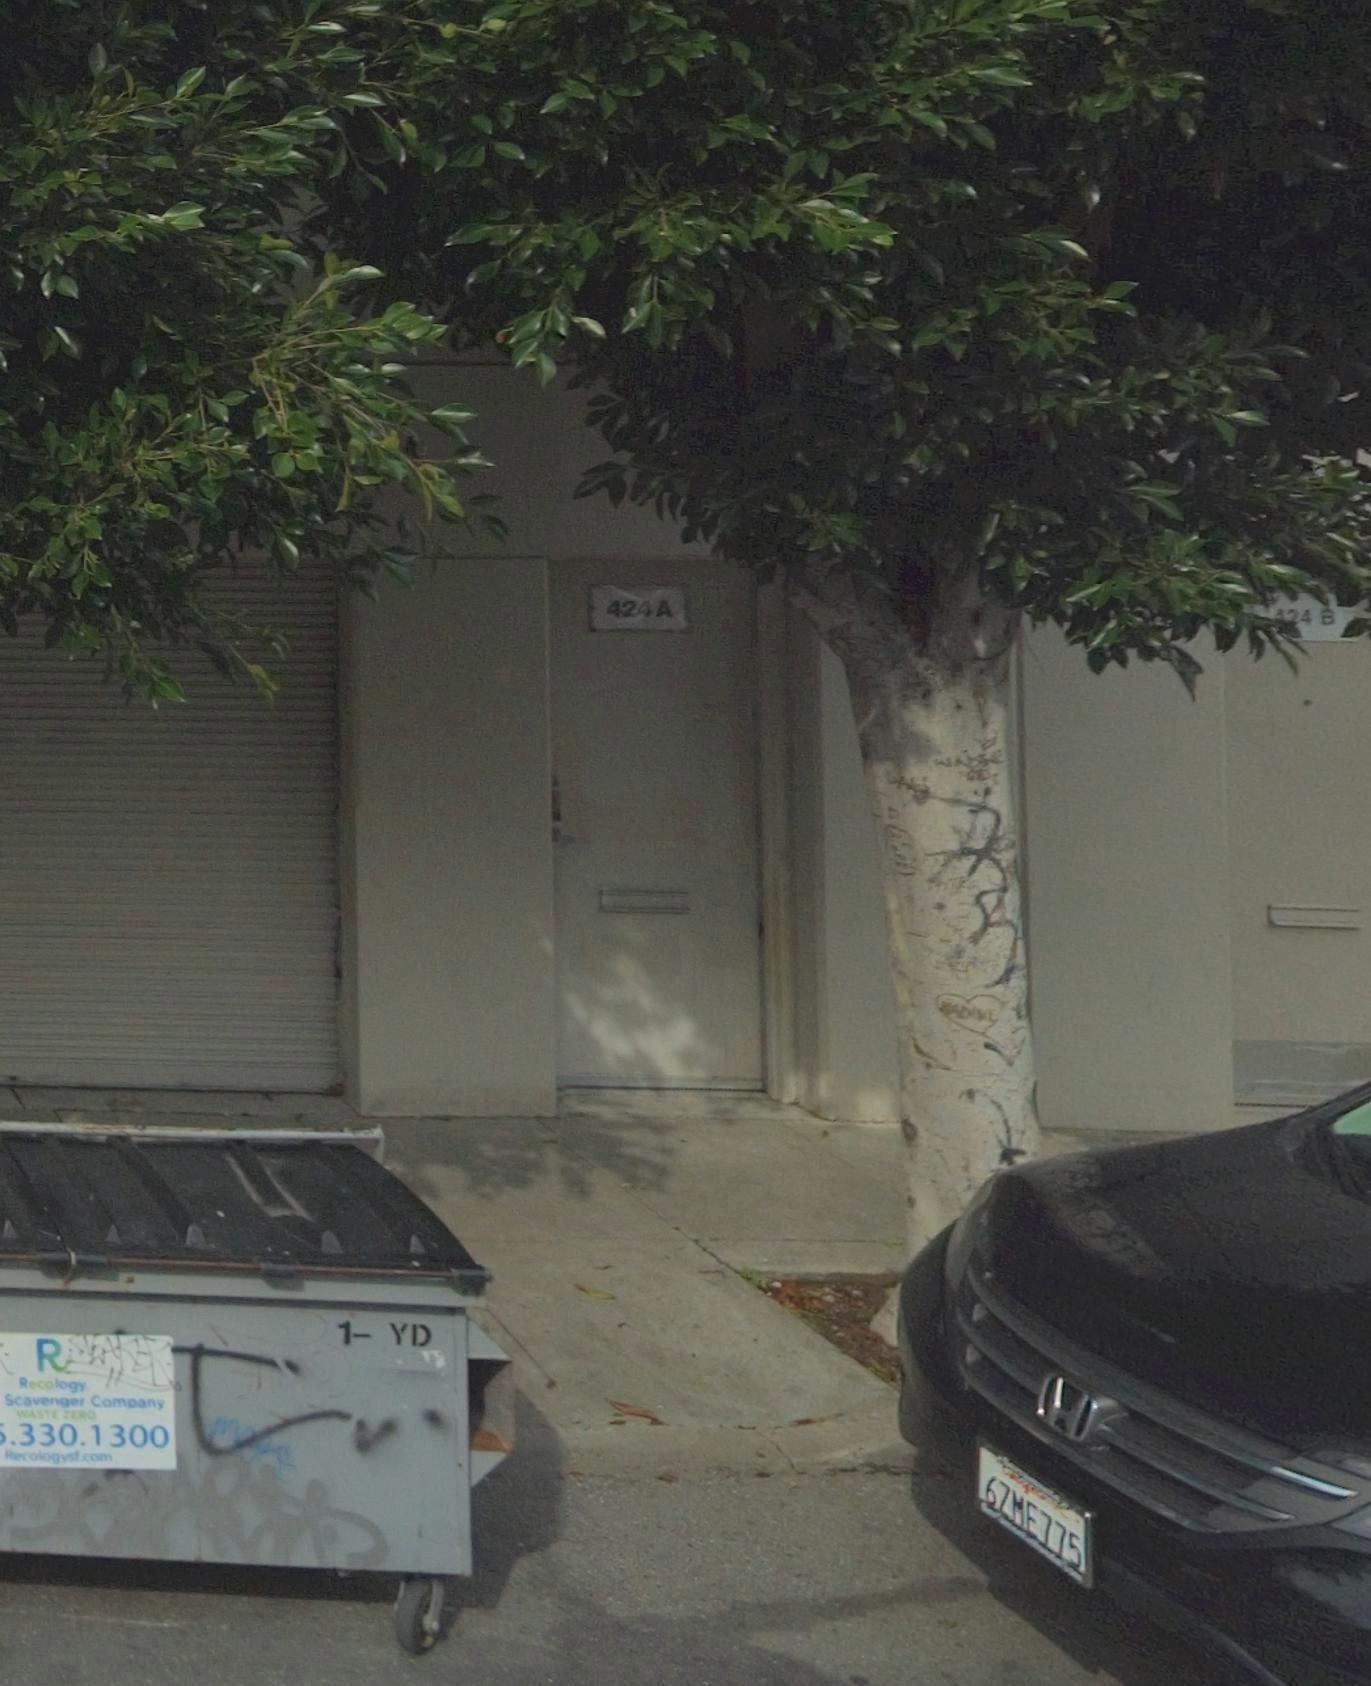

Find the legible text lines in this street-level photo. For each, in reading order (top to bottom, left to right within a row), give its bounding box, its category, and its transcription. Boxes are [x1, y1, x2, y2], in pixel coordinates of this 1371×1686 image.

[605, 598, 676, 621] StreetNumber: 424A
[1272, 607, 1337, 627] StreetNumber: **4 B
[334, 1319, 436, 1349] None: 1- YD
[35, 1335, 72, 1375] None: R
[17, 1374, 88, 1395] None: Recology
[3, 1392, 169, 1412] None: Scavenger Company
[12, 1408, 98, 1422] None: WASTE ZERO
[16, 1420, 172, 1451] None: 330.1300
[4, 1446, 114, 1466] None: Recologyst.com
[980, 1472, 1084, 1576] None: 6ZME775